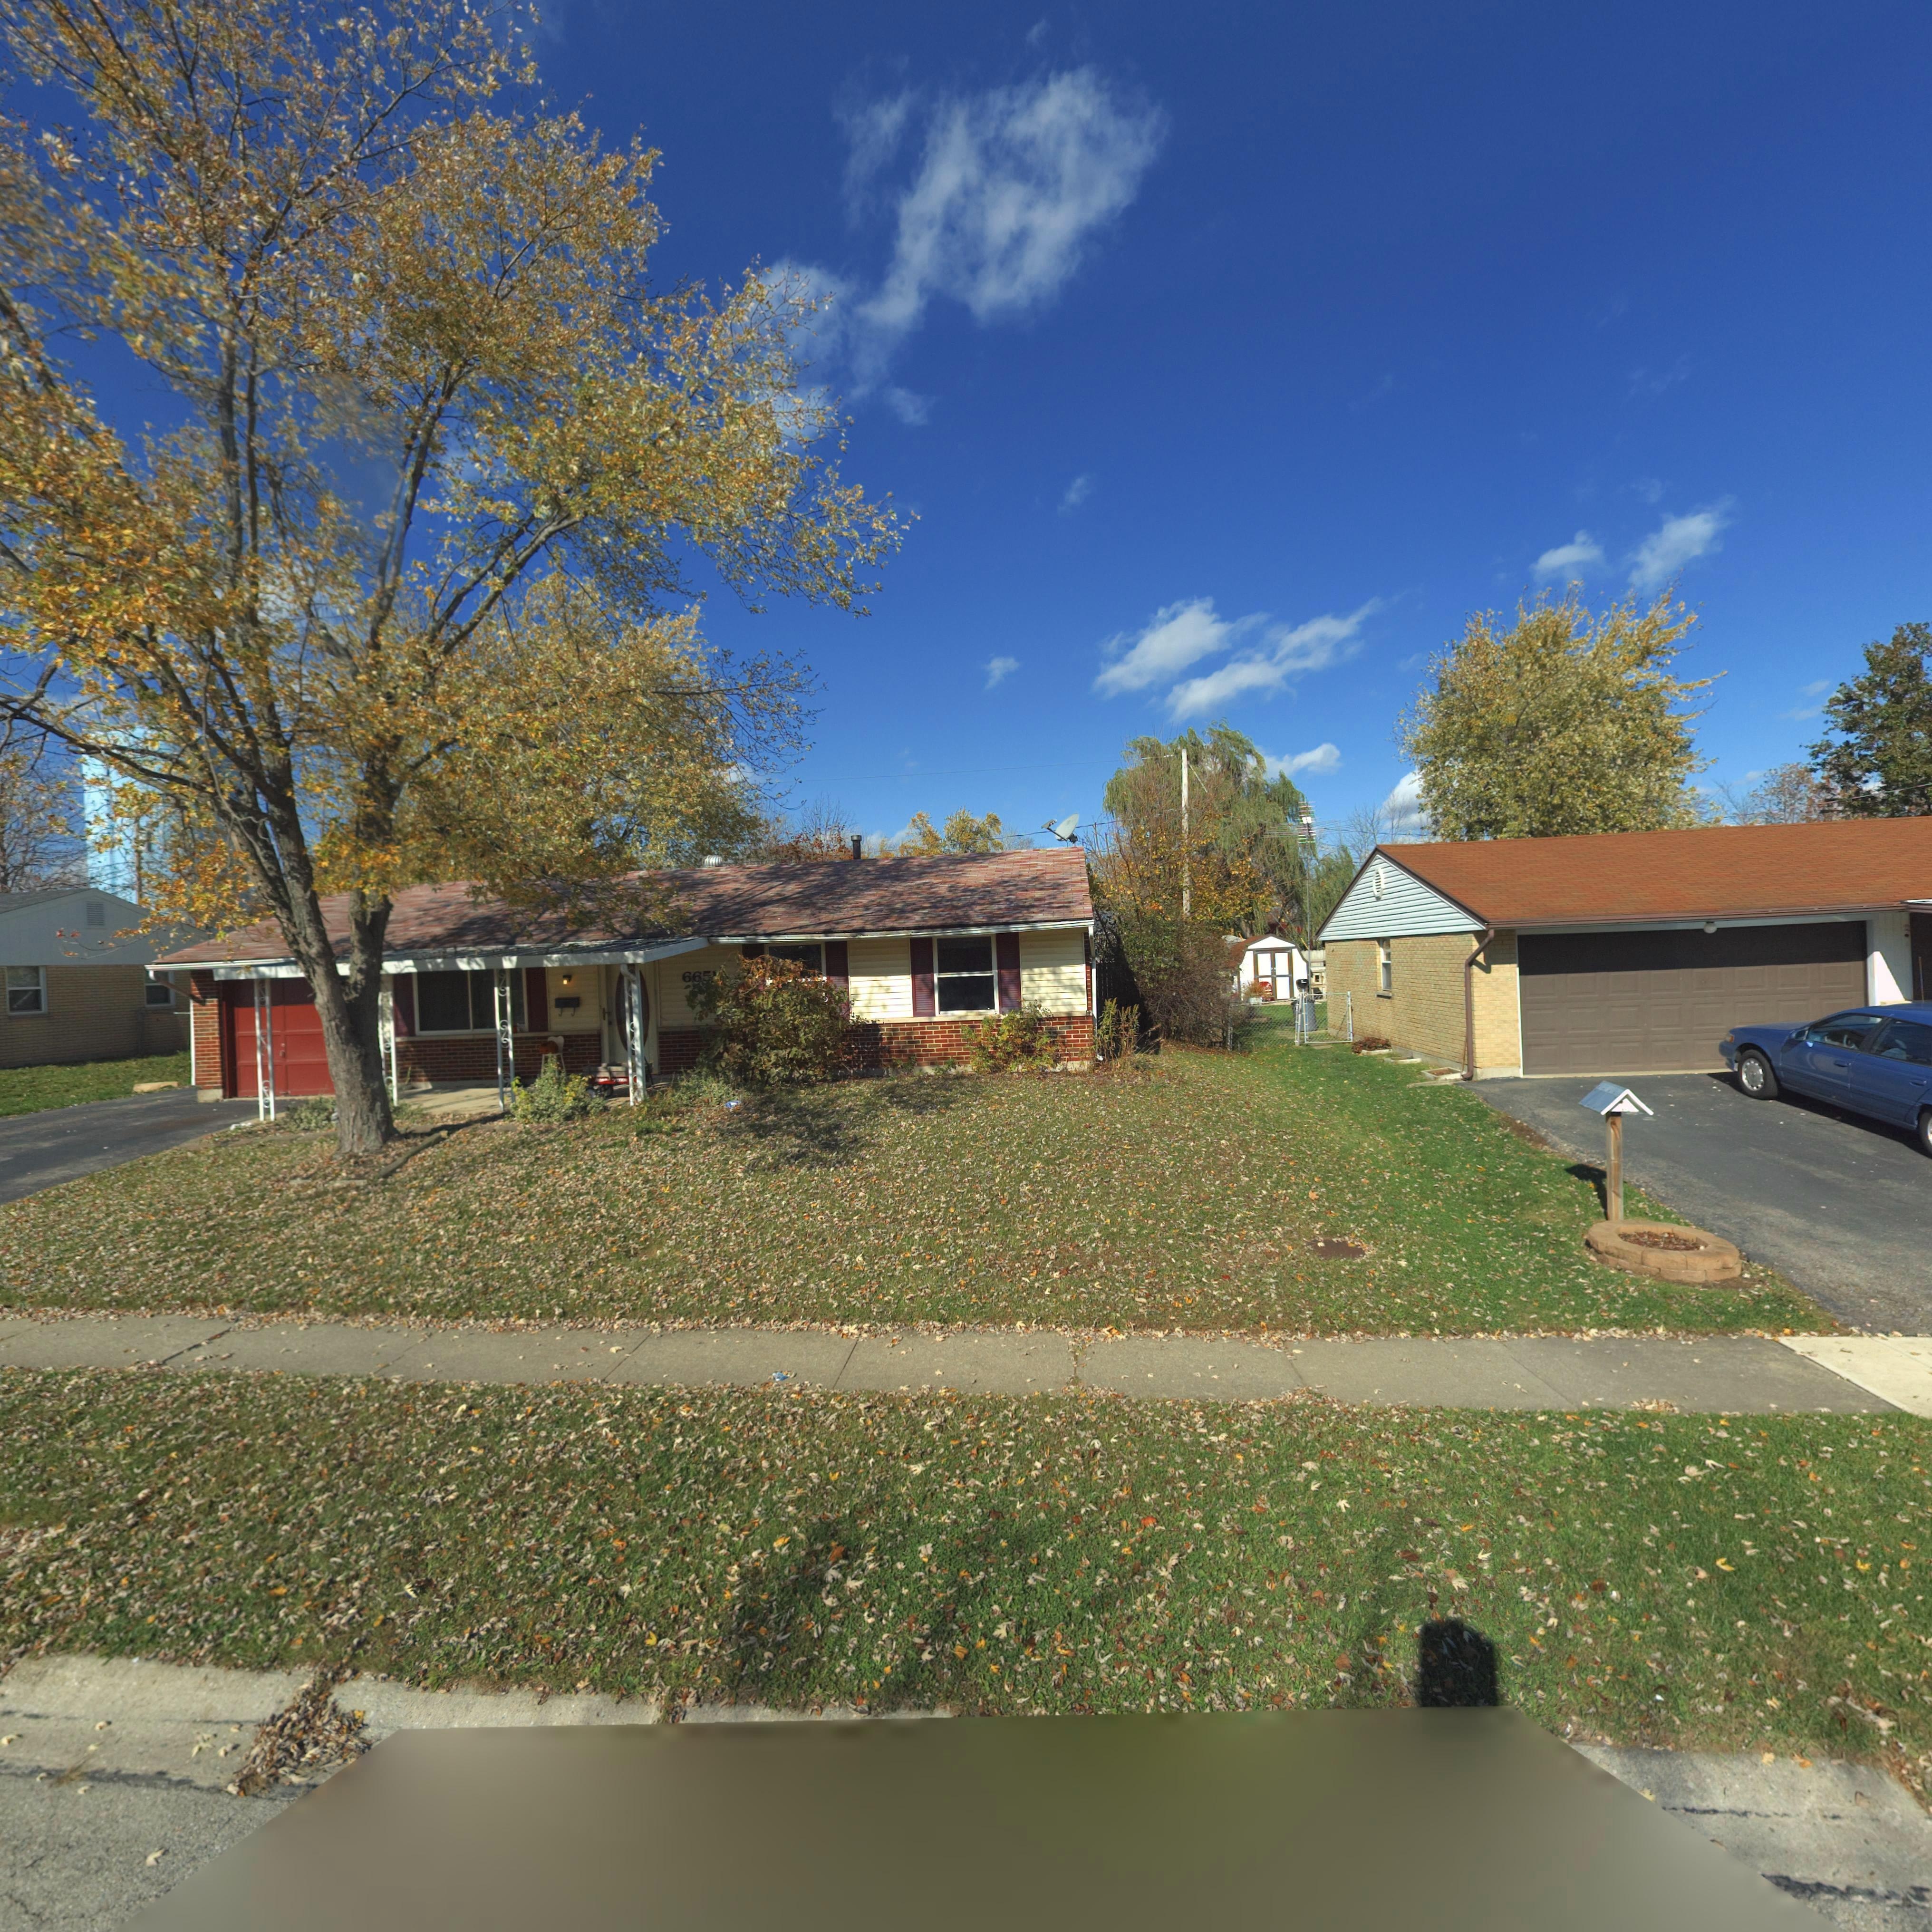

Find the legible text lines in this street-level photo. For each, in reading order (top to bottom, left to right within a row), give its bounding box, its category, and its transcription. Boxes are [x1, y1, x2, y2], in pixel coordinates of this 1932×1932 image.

[681, 970, 713, 983] StreetNumber: 665